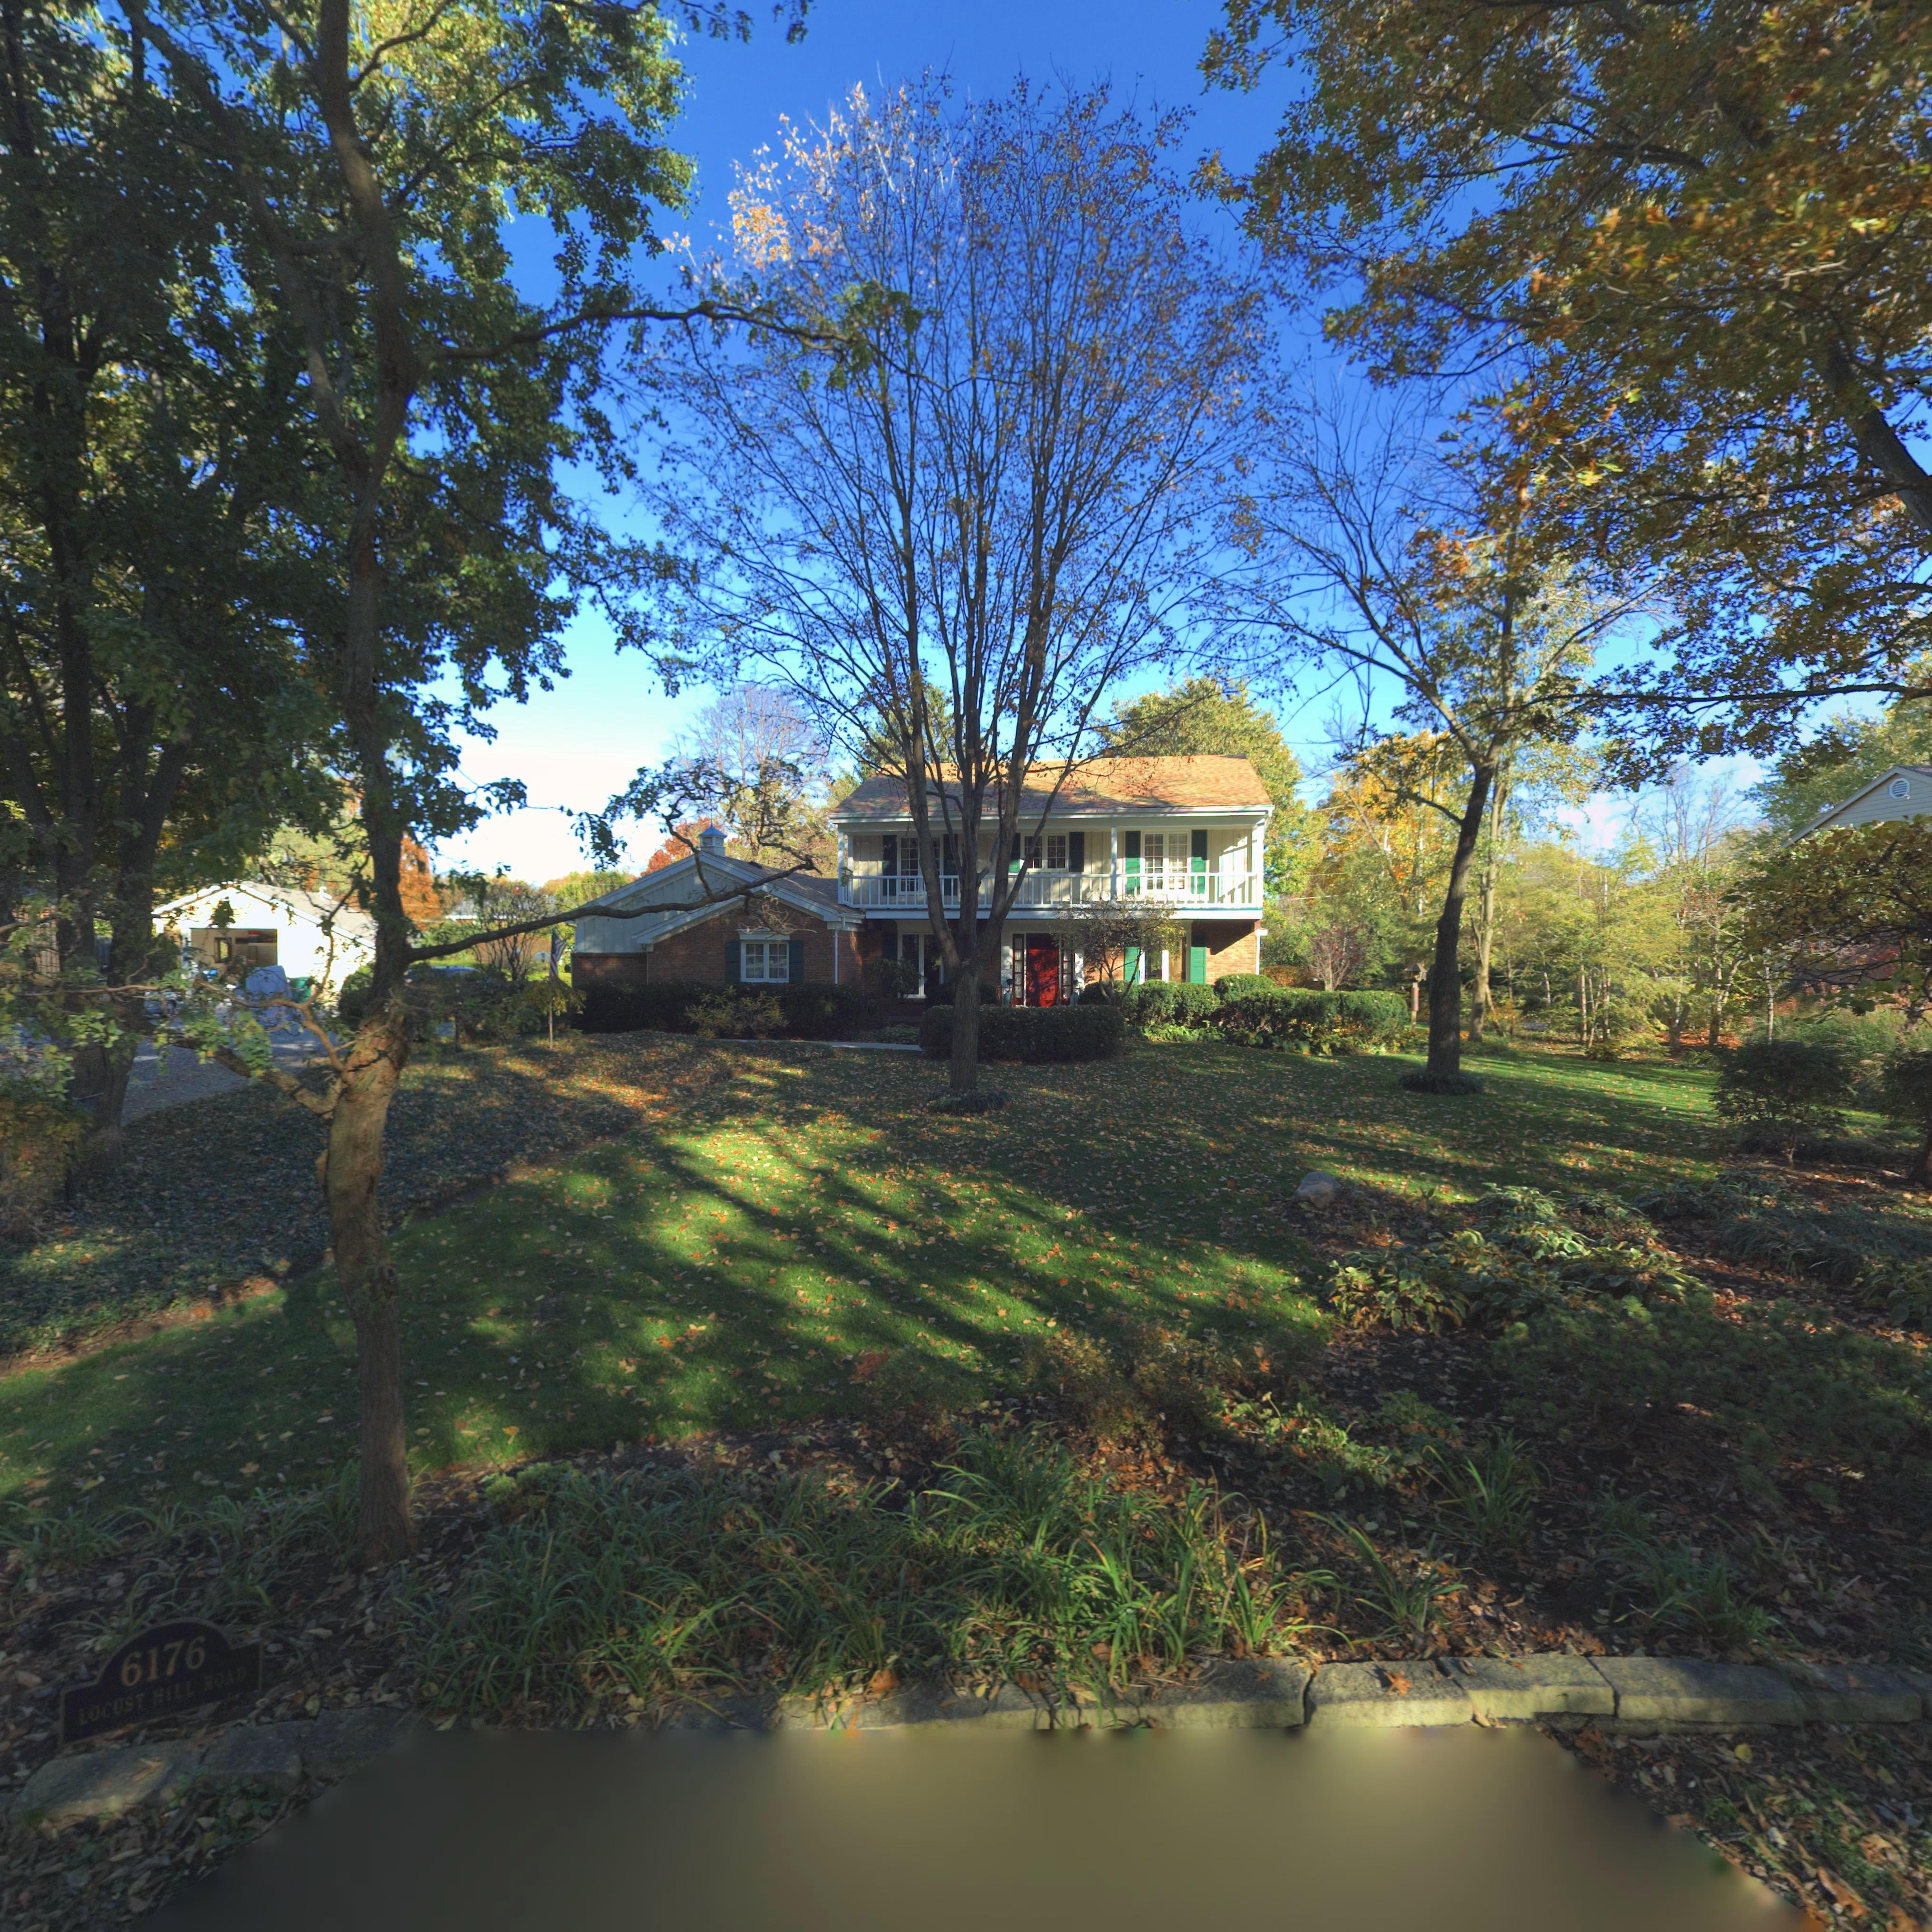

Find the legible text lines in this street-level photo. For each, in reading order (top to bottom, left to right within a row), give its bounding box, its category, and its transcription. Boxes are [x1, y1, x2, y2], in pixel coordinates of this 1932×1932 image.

[118, 1632, 209, 1690] StreetNumber: 6176
[77, 1663, 249, 1729] StreetName: LOCUST HILL ROAD